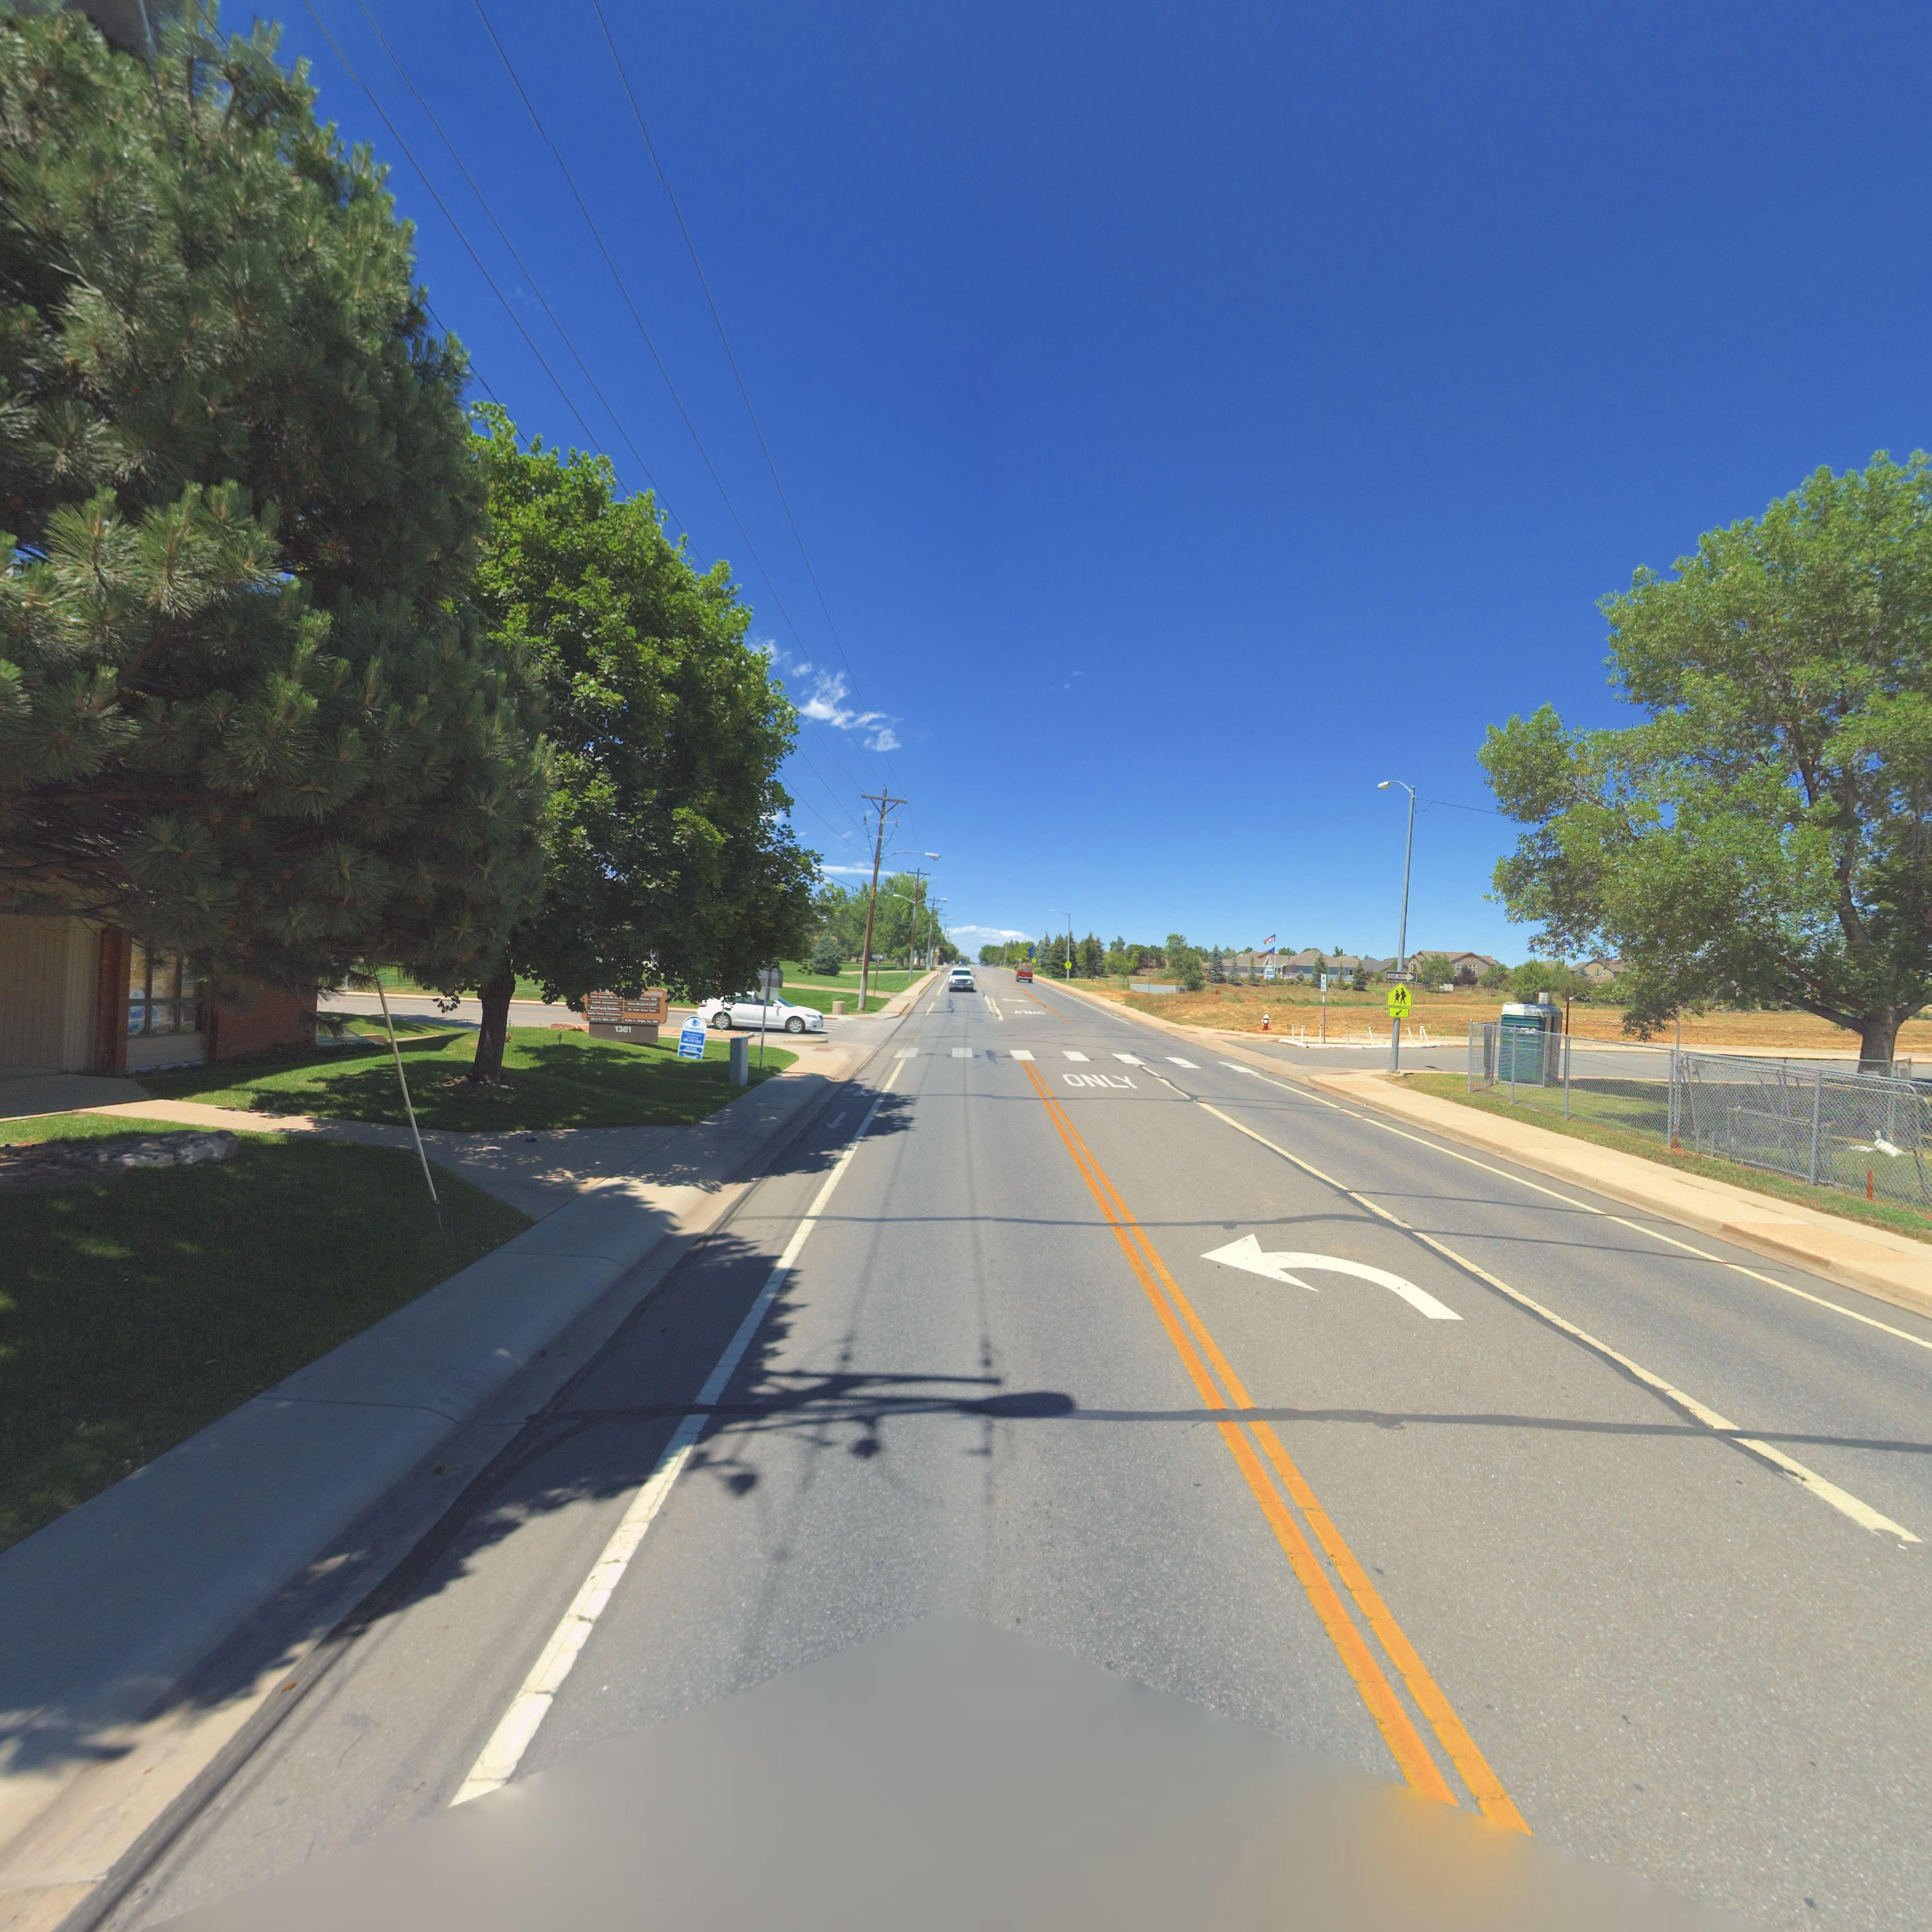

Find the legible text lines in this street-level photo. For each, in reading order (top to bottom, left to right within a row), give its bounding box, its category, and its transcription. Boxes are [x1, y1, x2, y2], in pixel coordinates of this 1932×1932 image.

[613, 1025, 631, 1034] StreetNumber: 1361